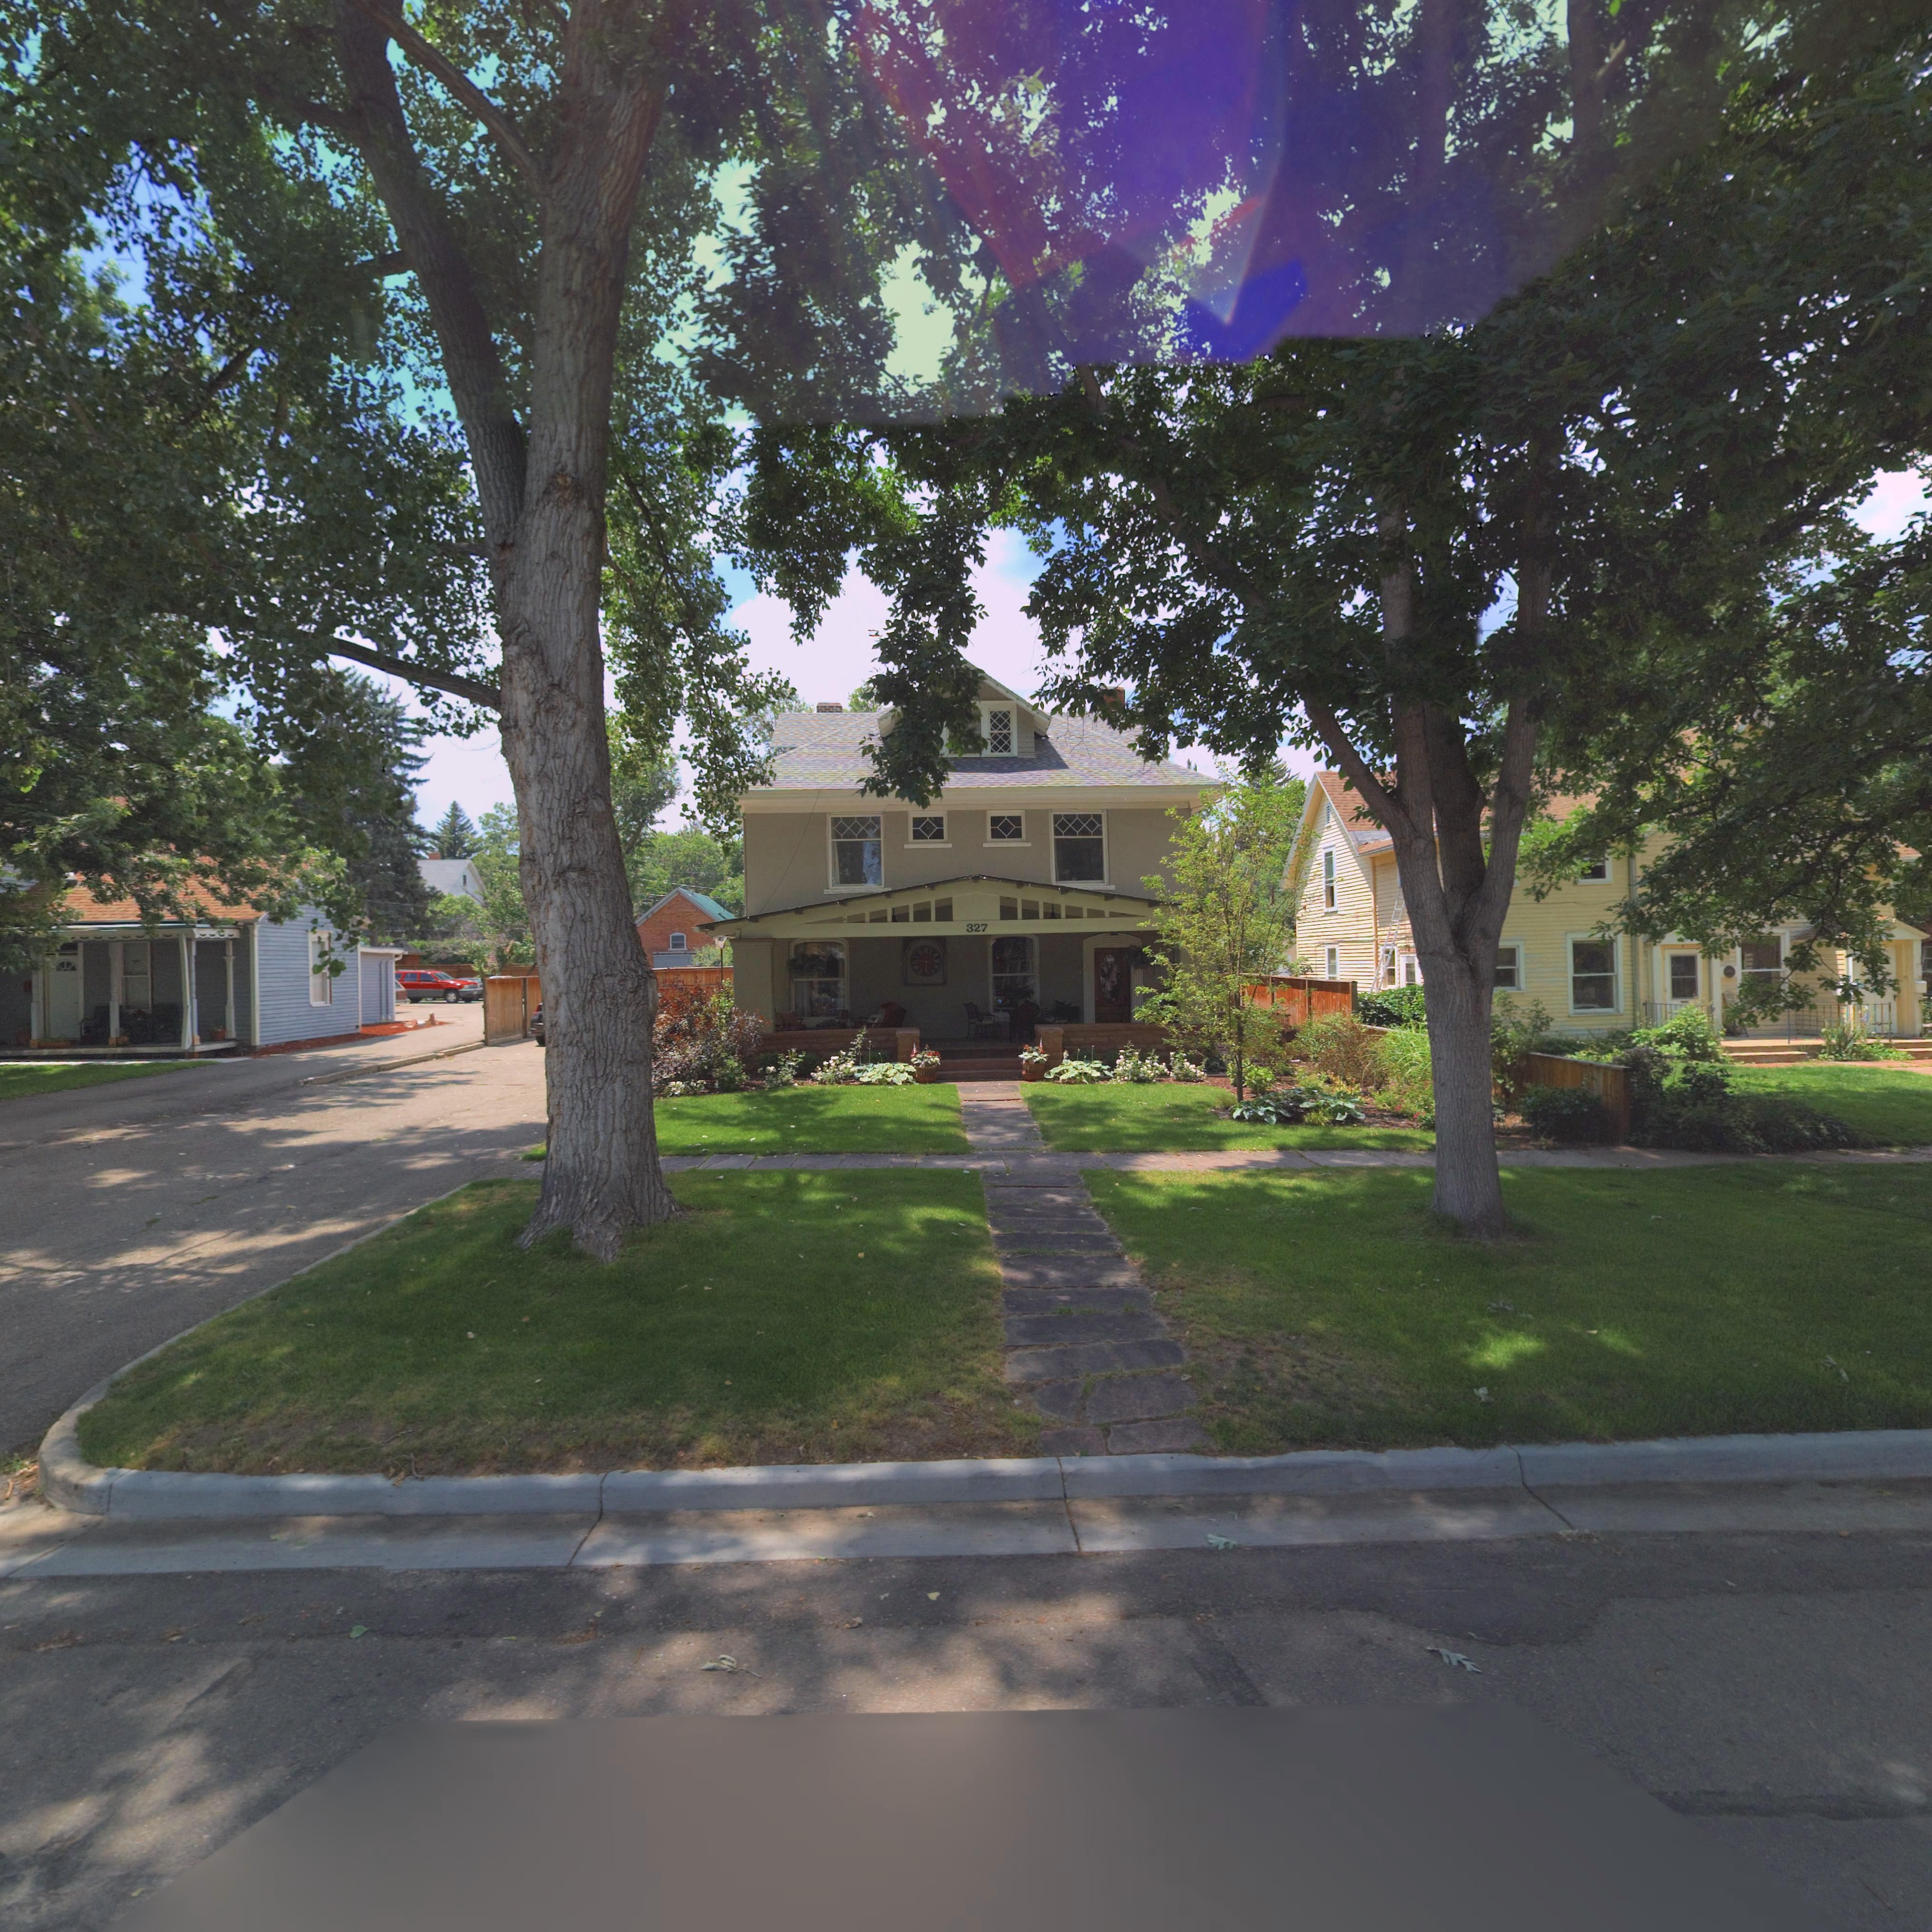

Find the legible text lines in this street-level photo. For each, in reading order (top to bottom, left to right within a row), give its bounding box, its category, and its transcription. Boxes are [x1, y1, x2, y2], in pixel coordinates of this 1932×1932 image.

[966, 923, 988, 932] StreetNumber: 327